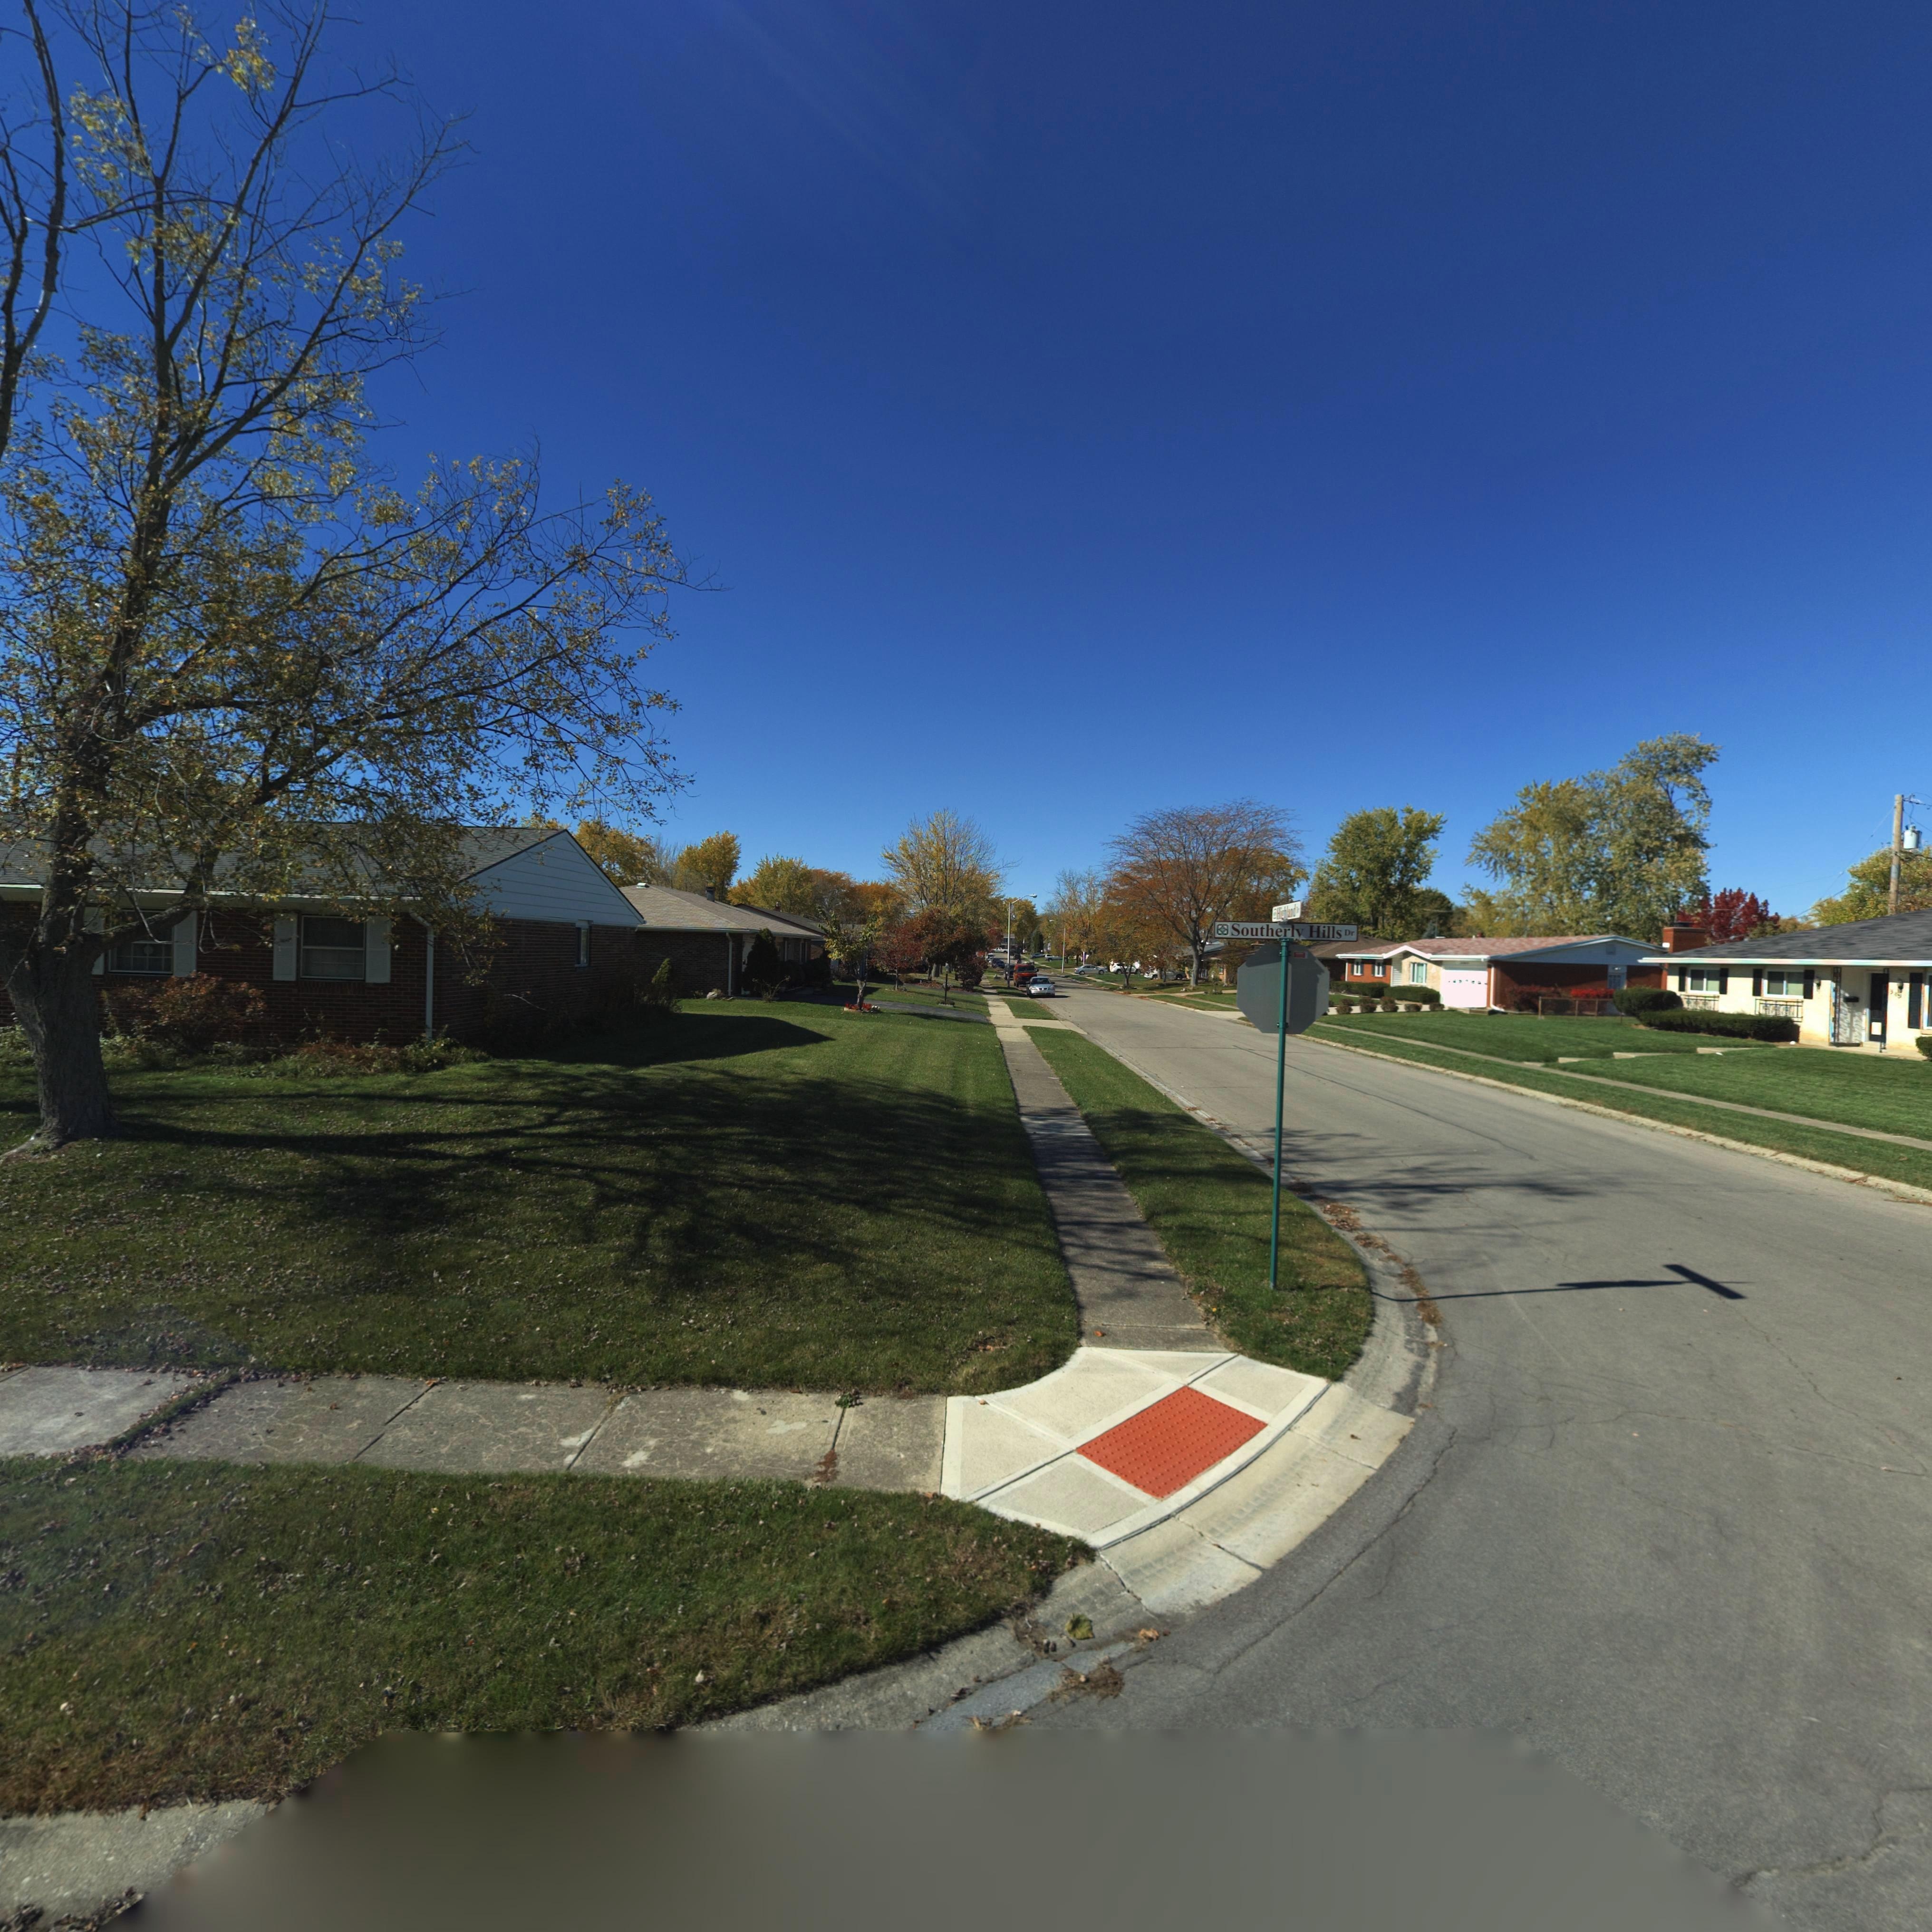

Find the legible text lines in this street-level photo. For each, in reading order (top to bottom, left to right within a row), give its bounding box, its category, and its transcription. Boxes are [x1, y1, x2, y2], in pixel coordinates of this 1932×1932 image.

[1276, 903, 1297, 920] StreetName: Highland
[1230, 922, 1356, 939] StreetName: Southerly Hills Dr
[1889, 988, 1902, 999] StreetNumber: 3*9